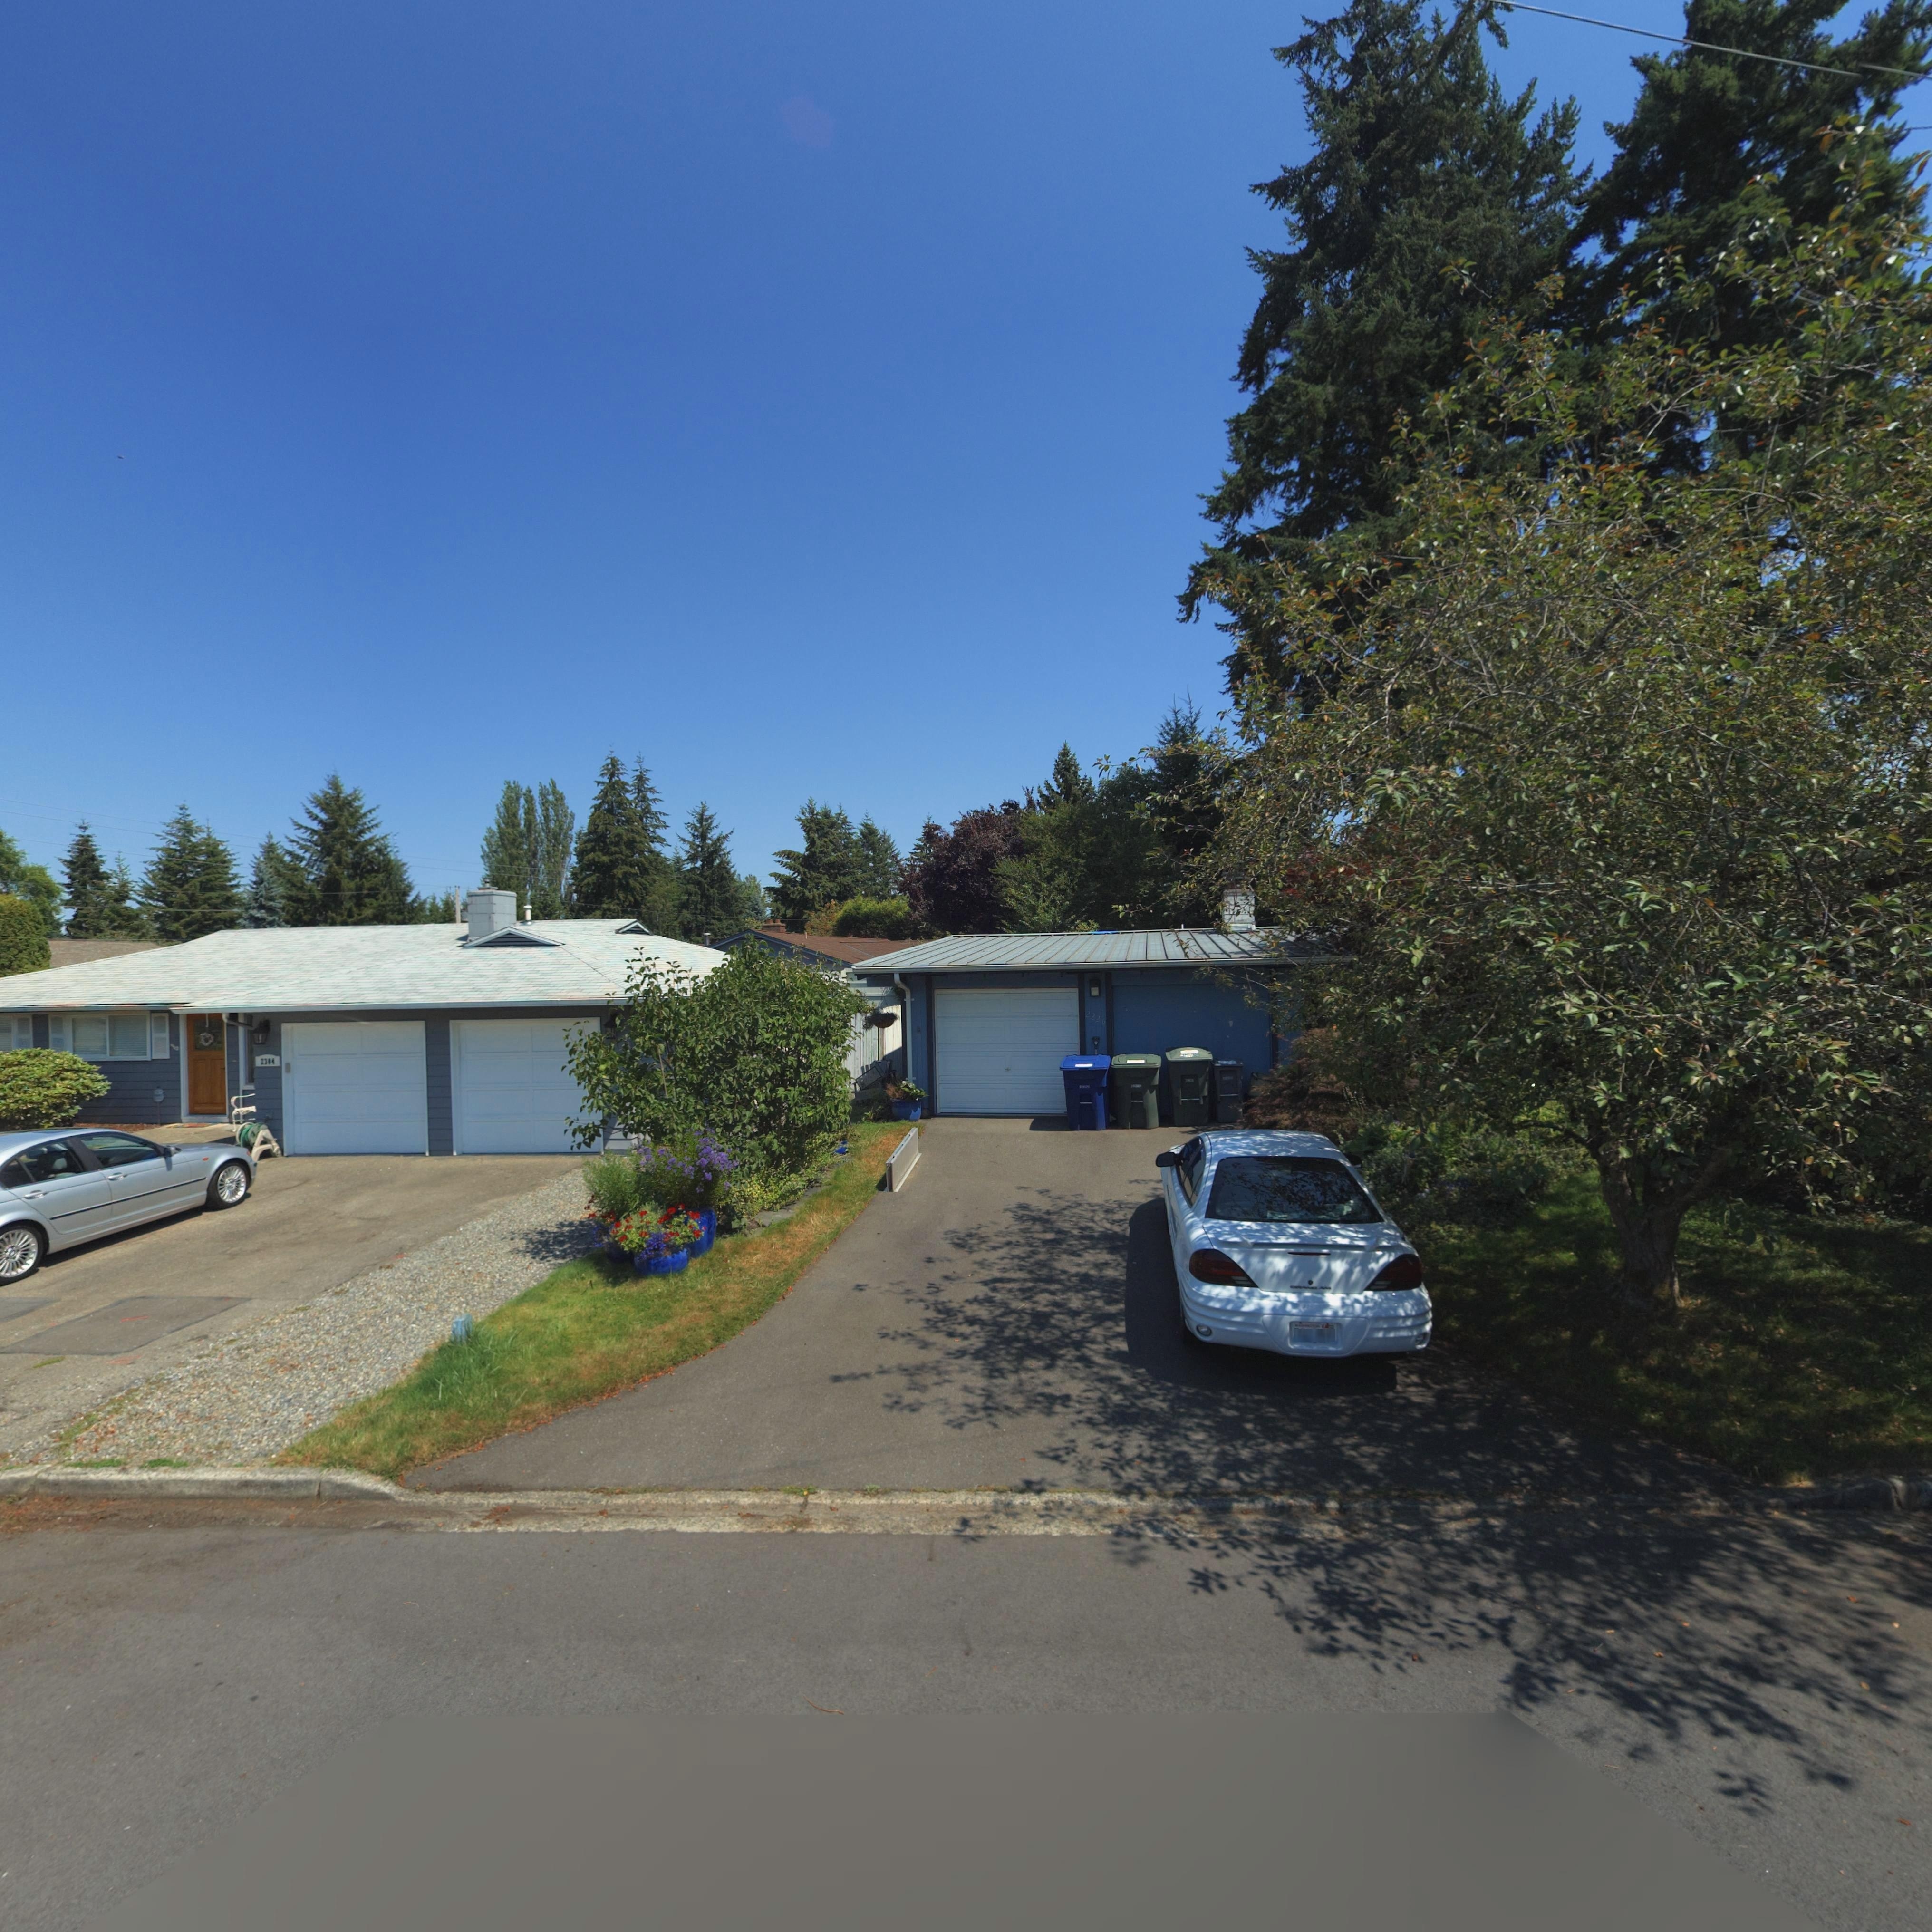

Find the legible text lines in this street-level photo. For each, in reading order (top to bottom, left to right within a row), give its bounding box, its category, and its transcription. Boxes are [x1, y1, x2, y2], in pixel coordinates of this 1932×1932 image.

[260, 1057, 274, 1065] StreetNumber: 23*4